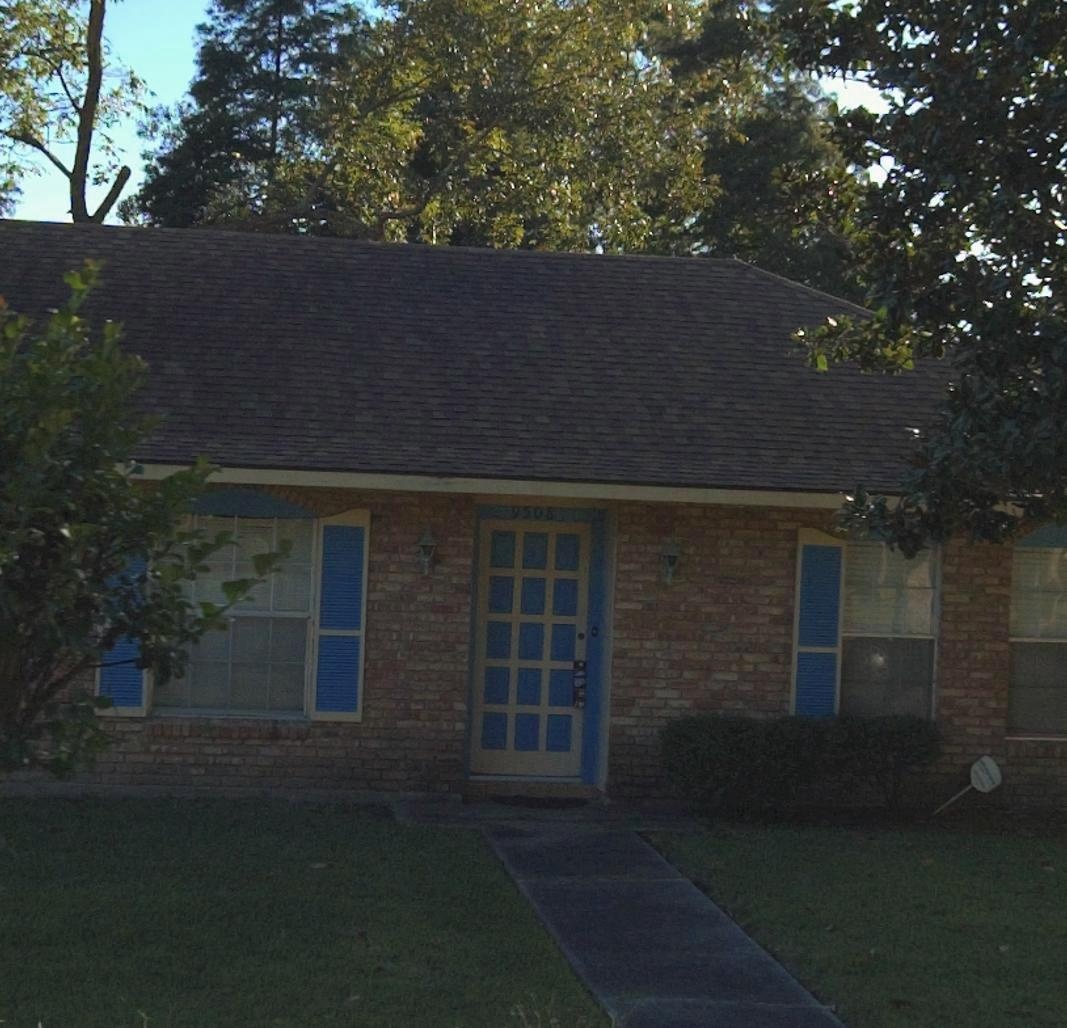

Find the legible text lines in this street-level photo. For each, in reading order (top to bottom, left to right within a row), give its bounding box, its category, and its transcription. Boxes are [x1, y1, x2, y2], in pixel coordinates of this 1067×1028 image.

[509, 505, 555, 521] StreetNumber: 9508